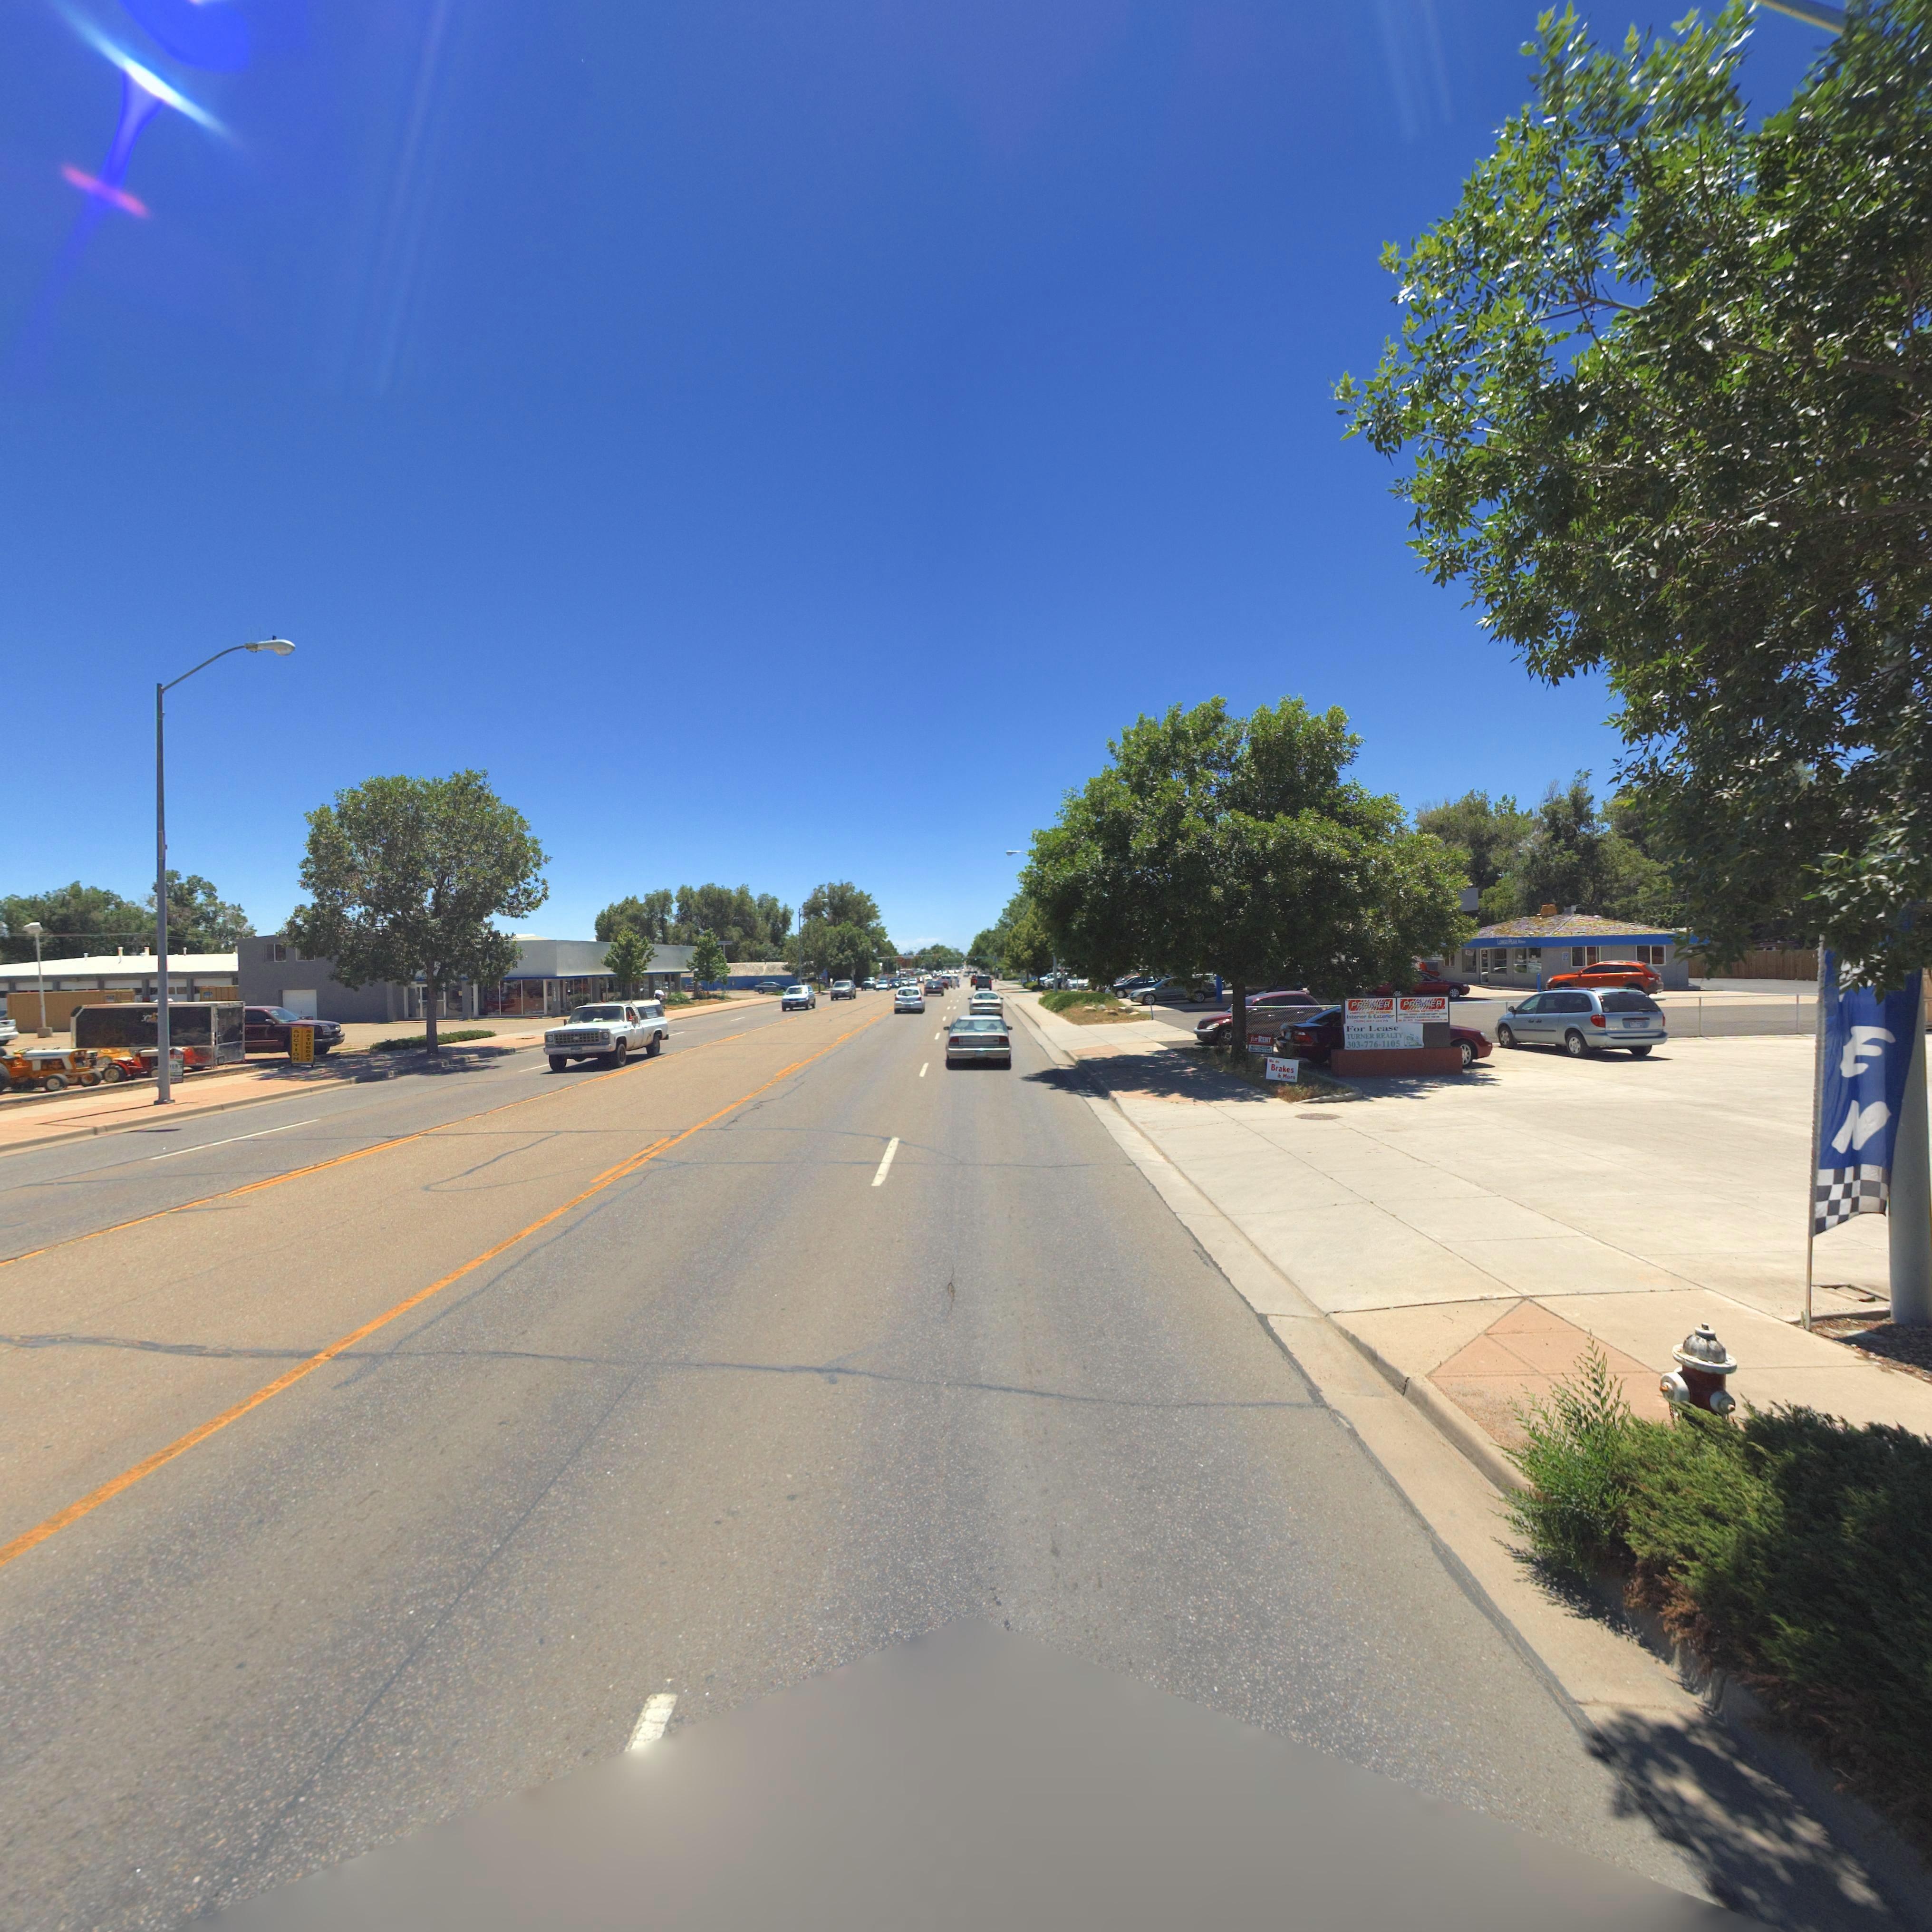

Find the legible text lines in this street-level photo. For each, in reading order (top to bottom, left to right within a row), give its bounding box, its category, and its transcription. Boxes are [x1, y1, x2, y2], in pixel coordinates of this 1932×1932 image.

[1497, 938, 1518, 945] BusinessName: LONGS PEAK